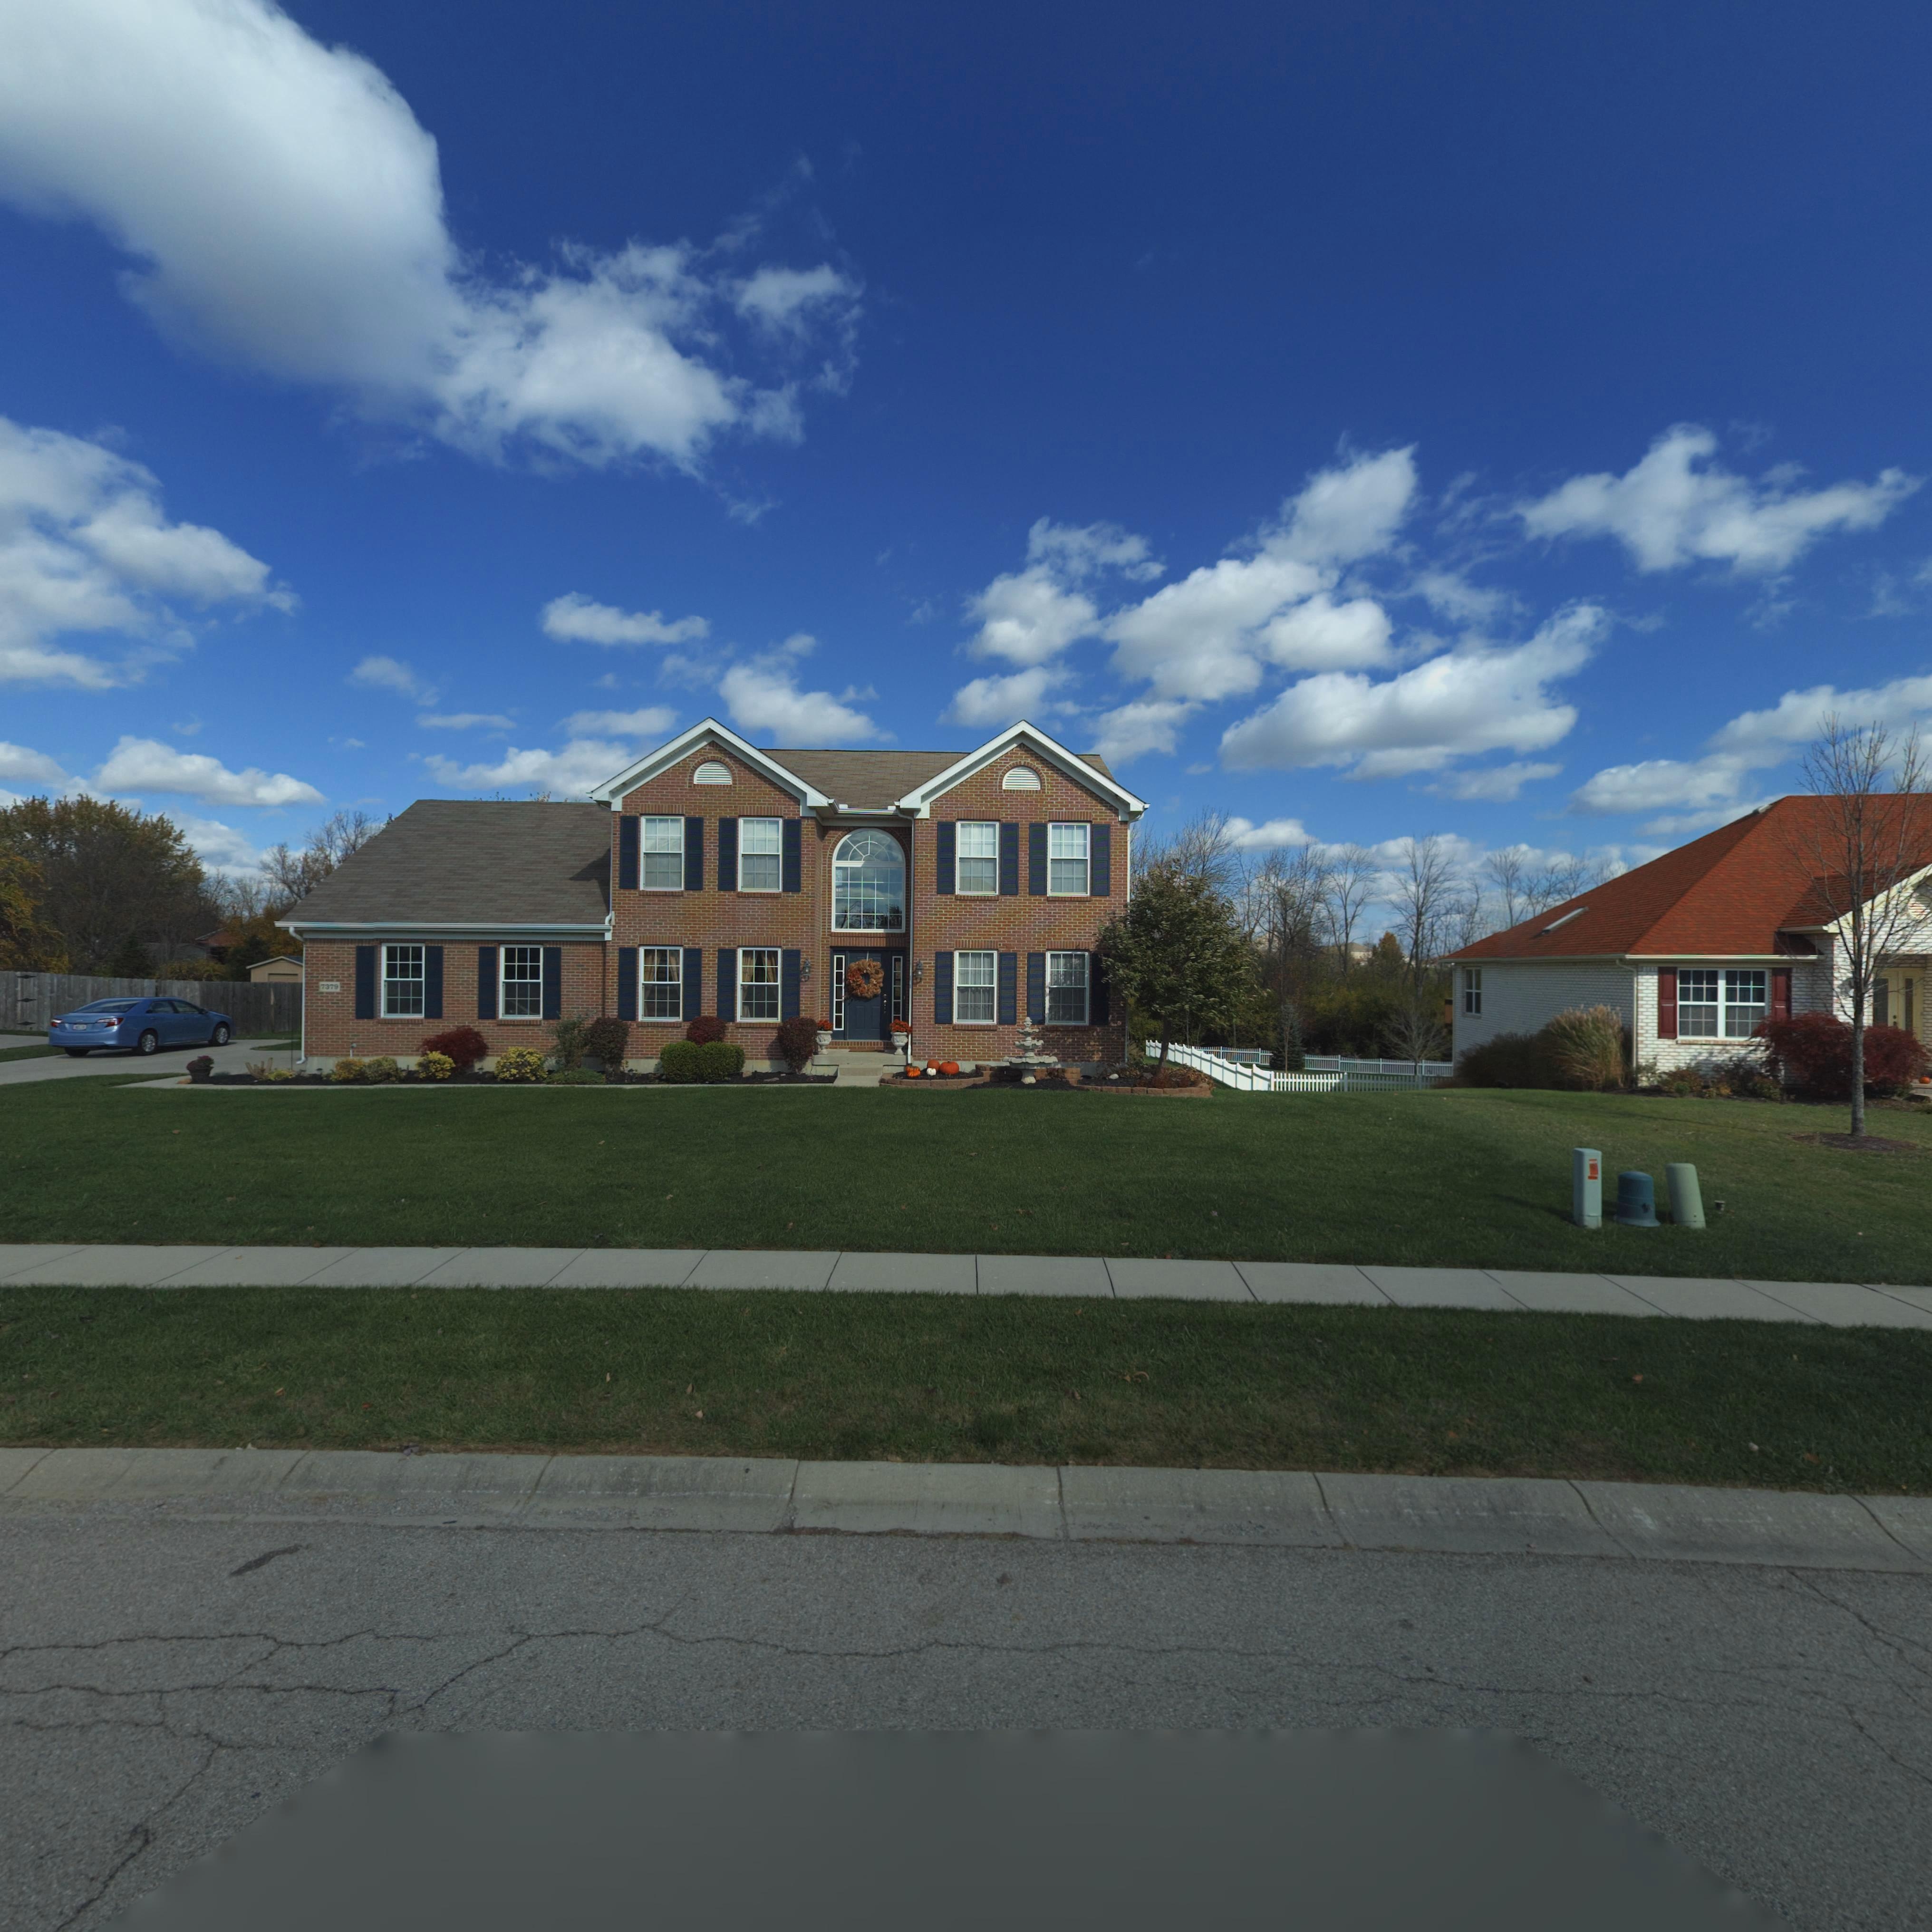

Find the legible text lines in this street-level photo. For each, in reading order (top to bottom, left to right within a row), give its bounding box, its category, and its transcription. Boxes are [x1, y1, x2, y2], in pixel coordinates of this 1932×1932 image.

[320, 983, 339, 990] StreetNumber: 7379